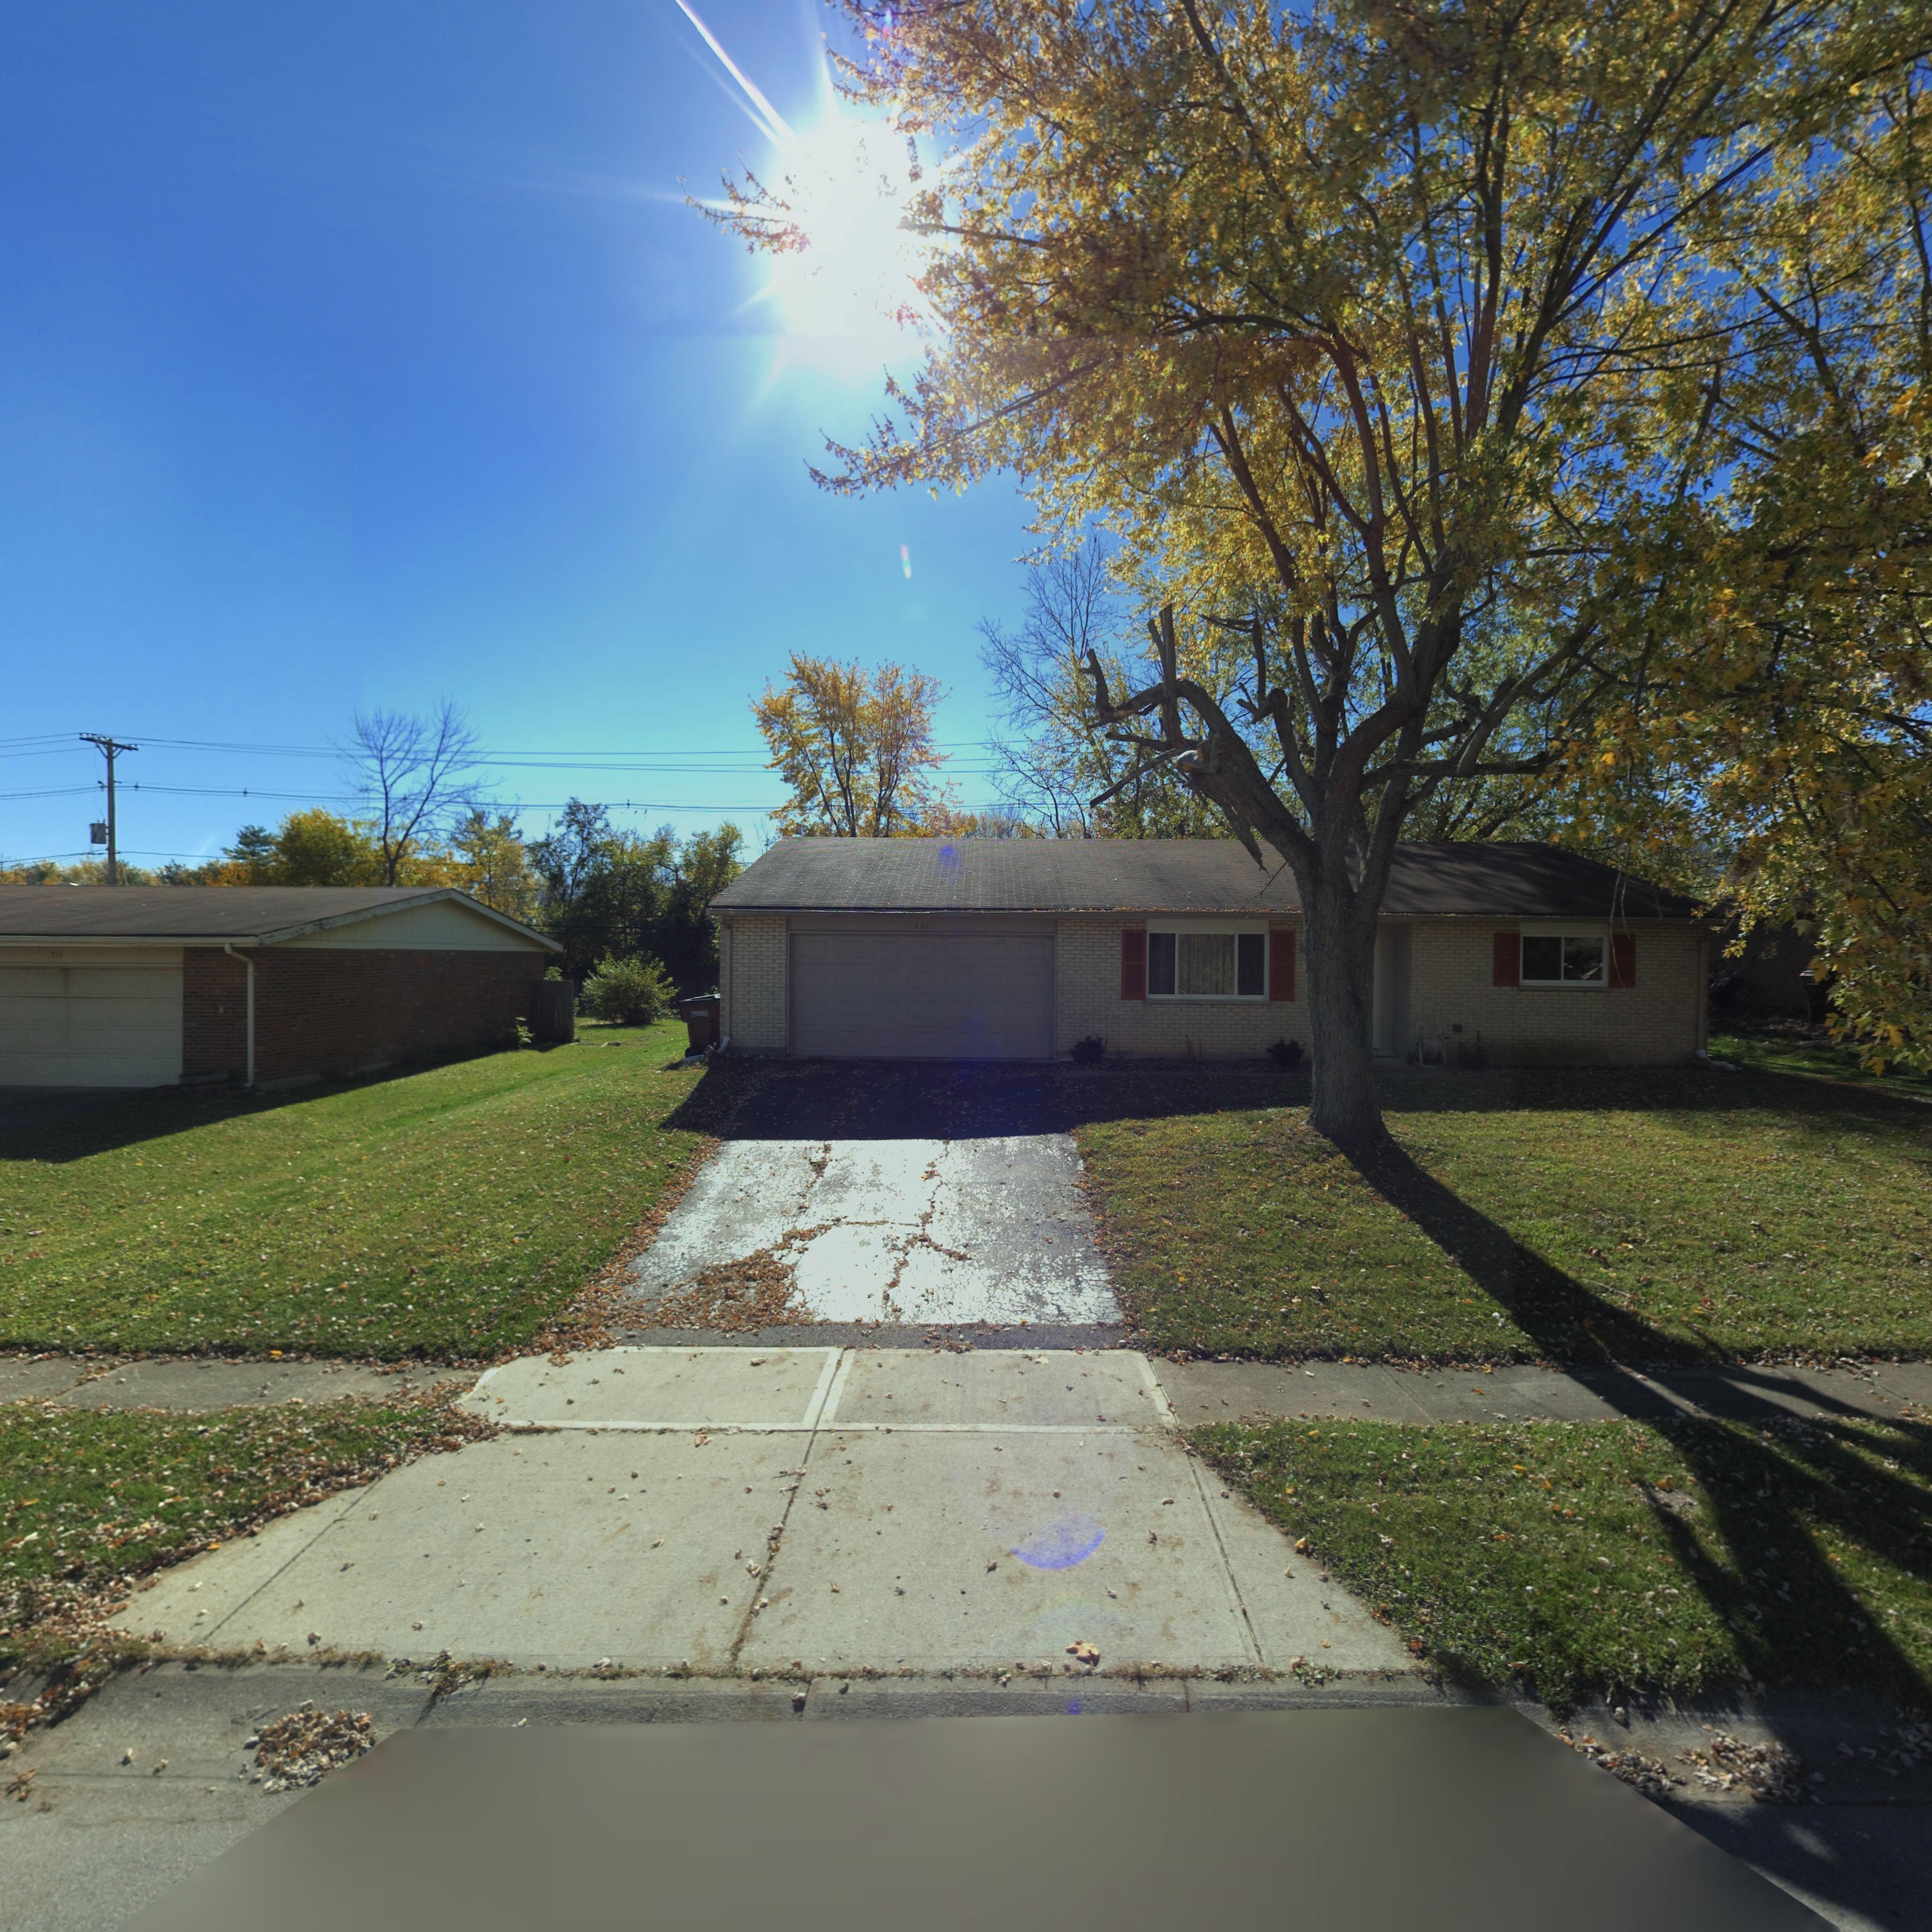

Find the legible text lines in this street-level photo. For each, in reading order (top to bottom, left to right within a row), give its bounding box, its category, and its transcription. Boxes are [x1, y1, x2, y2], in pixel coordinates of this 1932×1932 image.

[914, 923, 929, 929] StreetNumber: 221
[50, 950, 63, 958] StreetNumber: 219